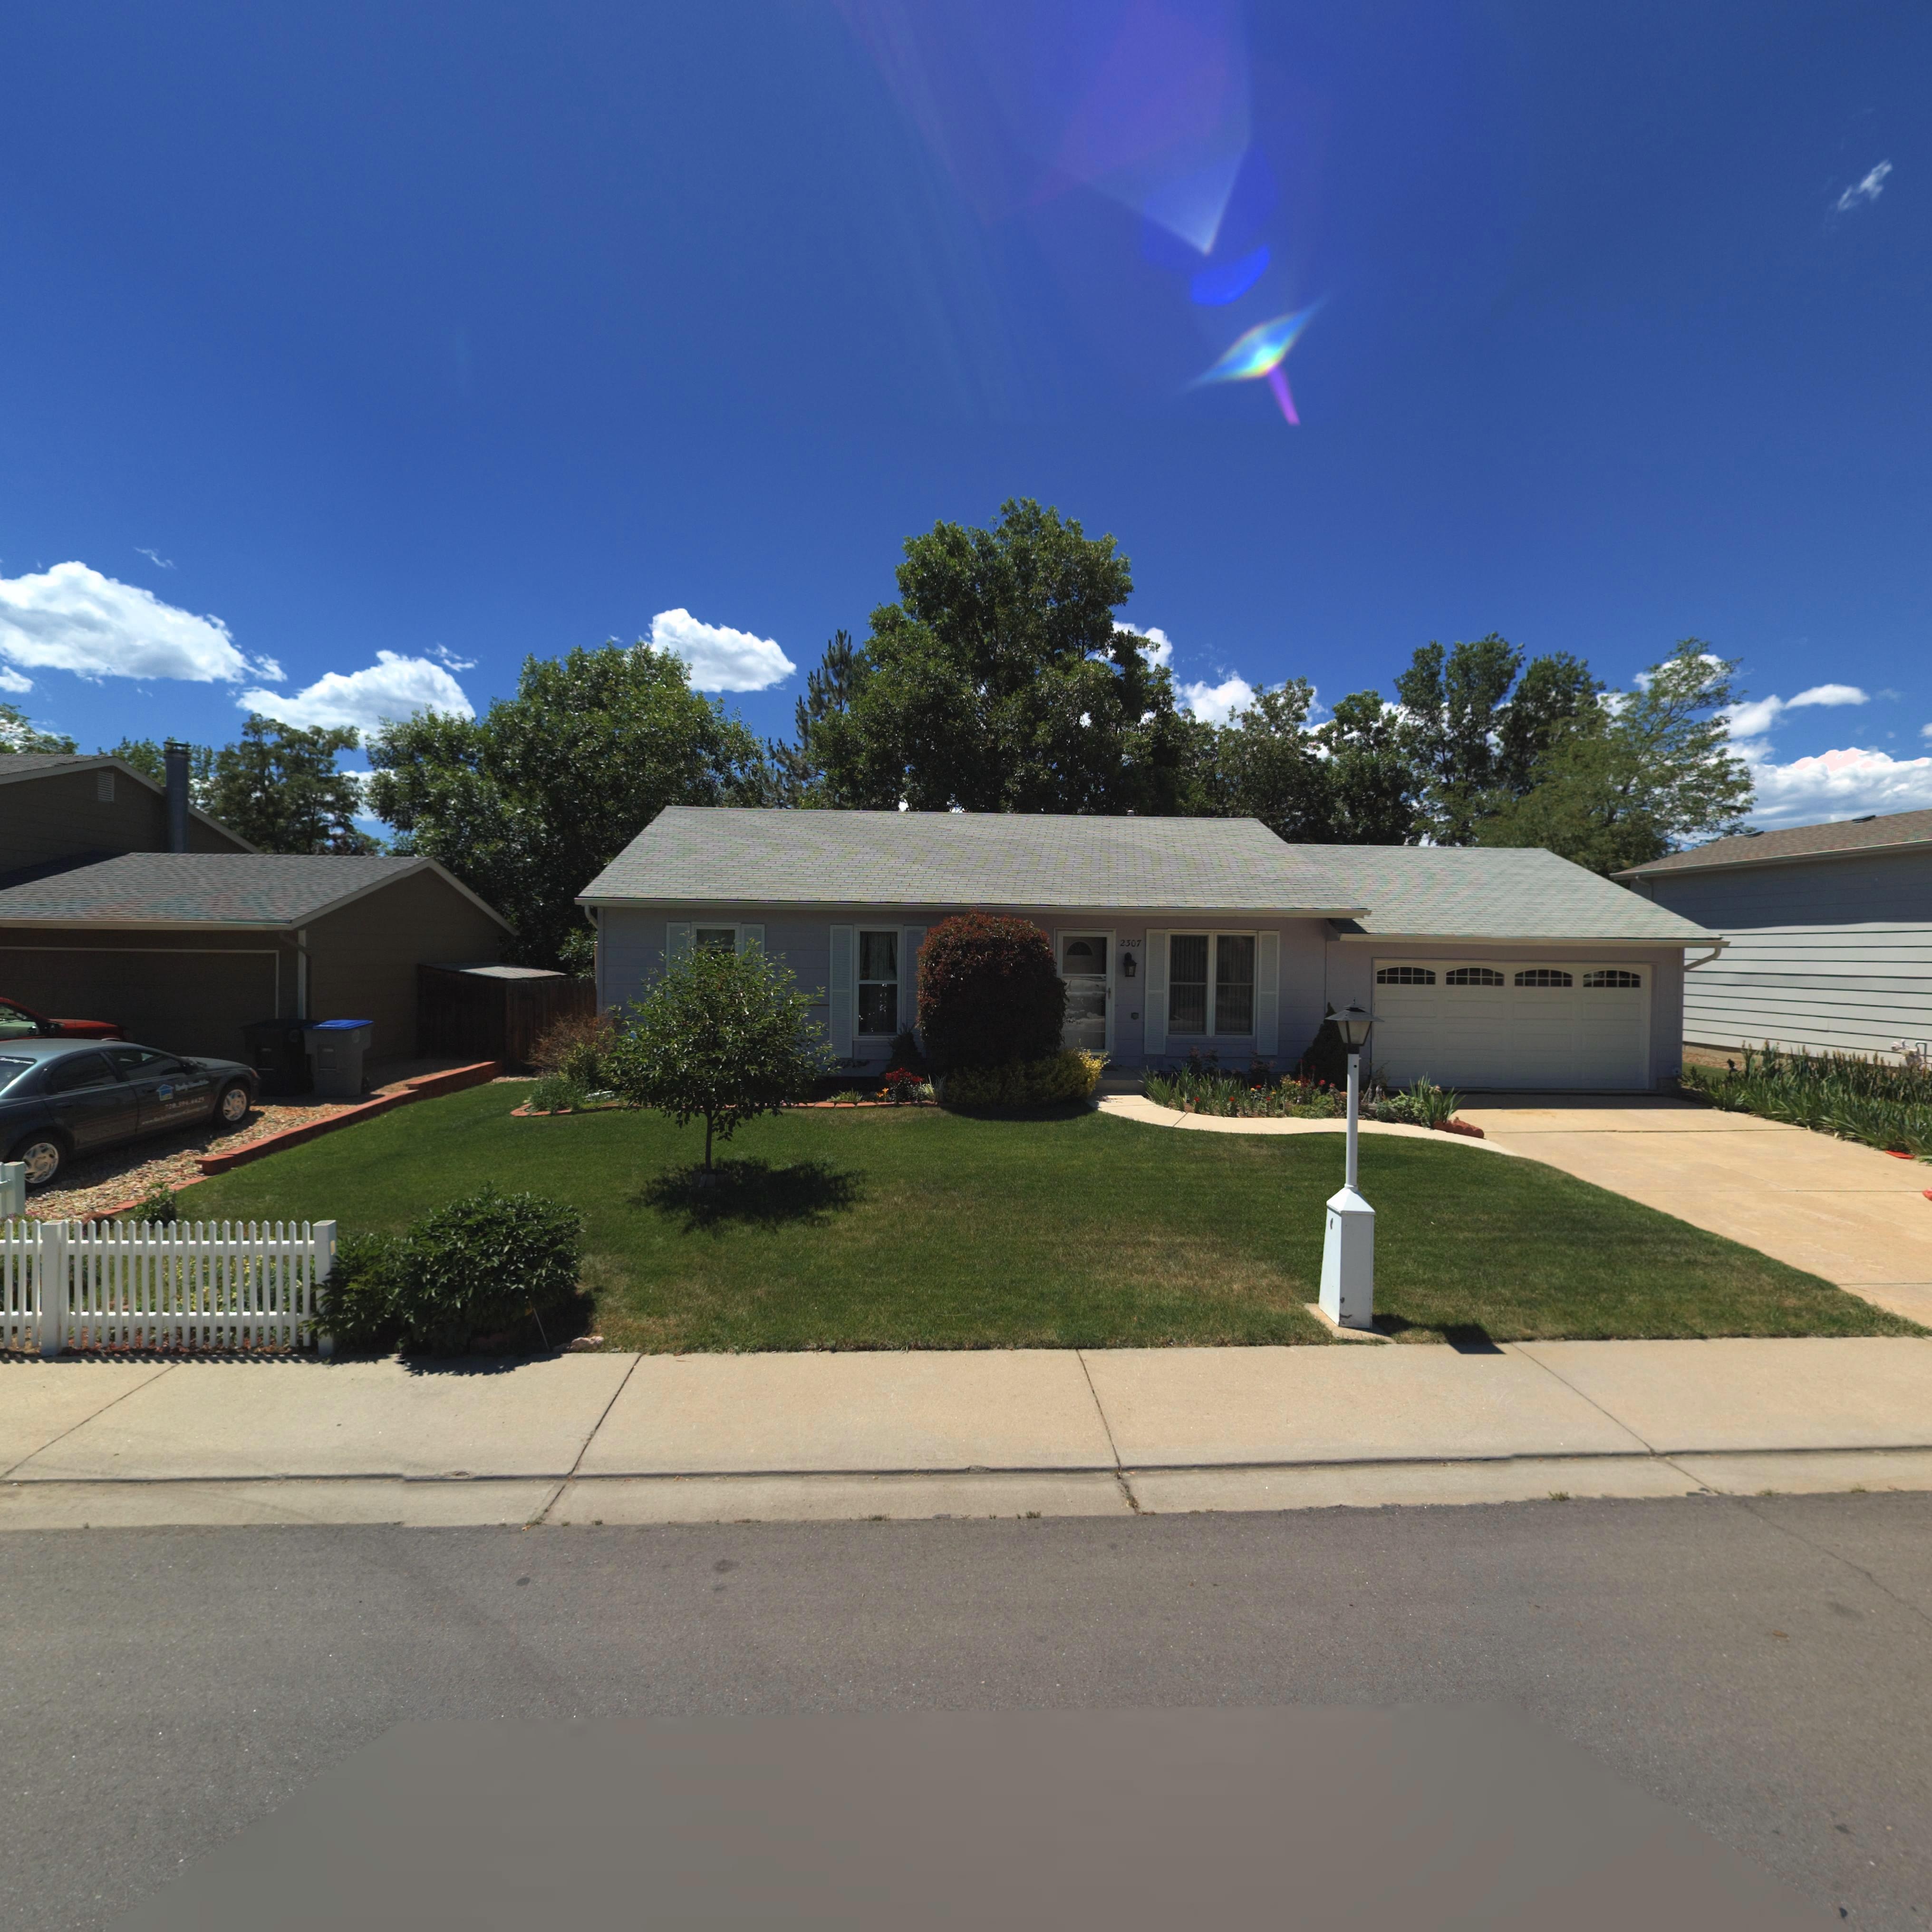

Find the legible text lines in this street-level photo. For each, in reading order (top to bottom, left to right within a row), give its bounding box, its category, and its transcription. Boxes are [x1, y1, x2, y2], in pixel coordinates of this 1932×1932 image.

[1119, 939, 1142, 947] StreetNumber: 2307